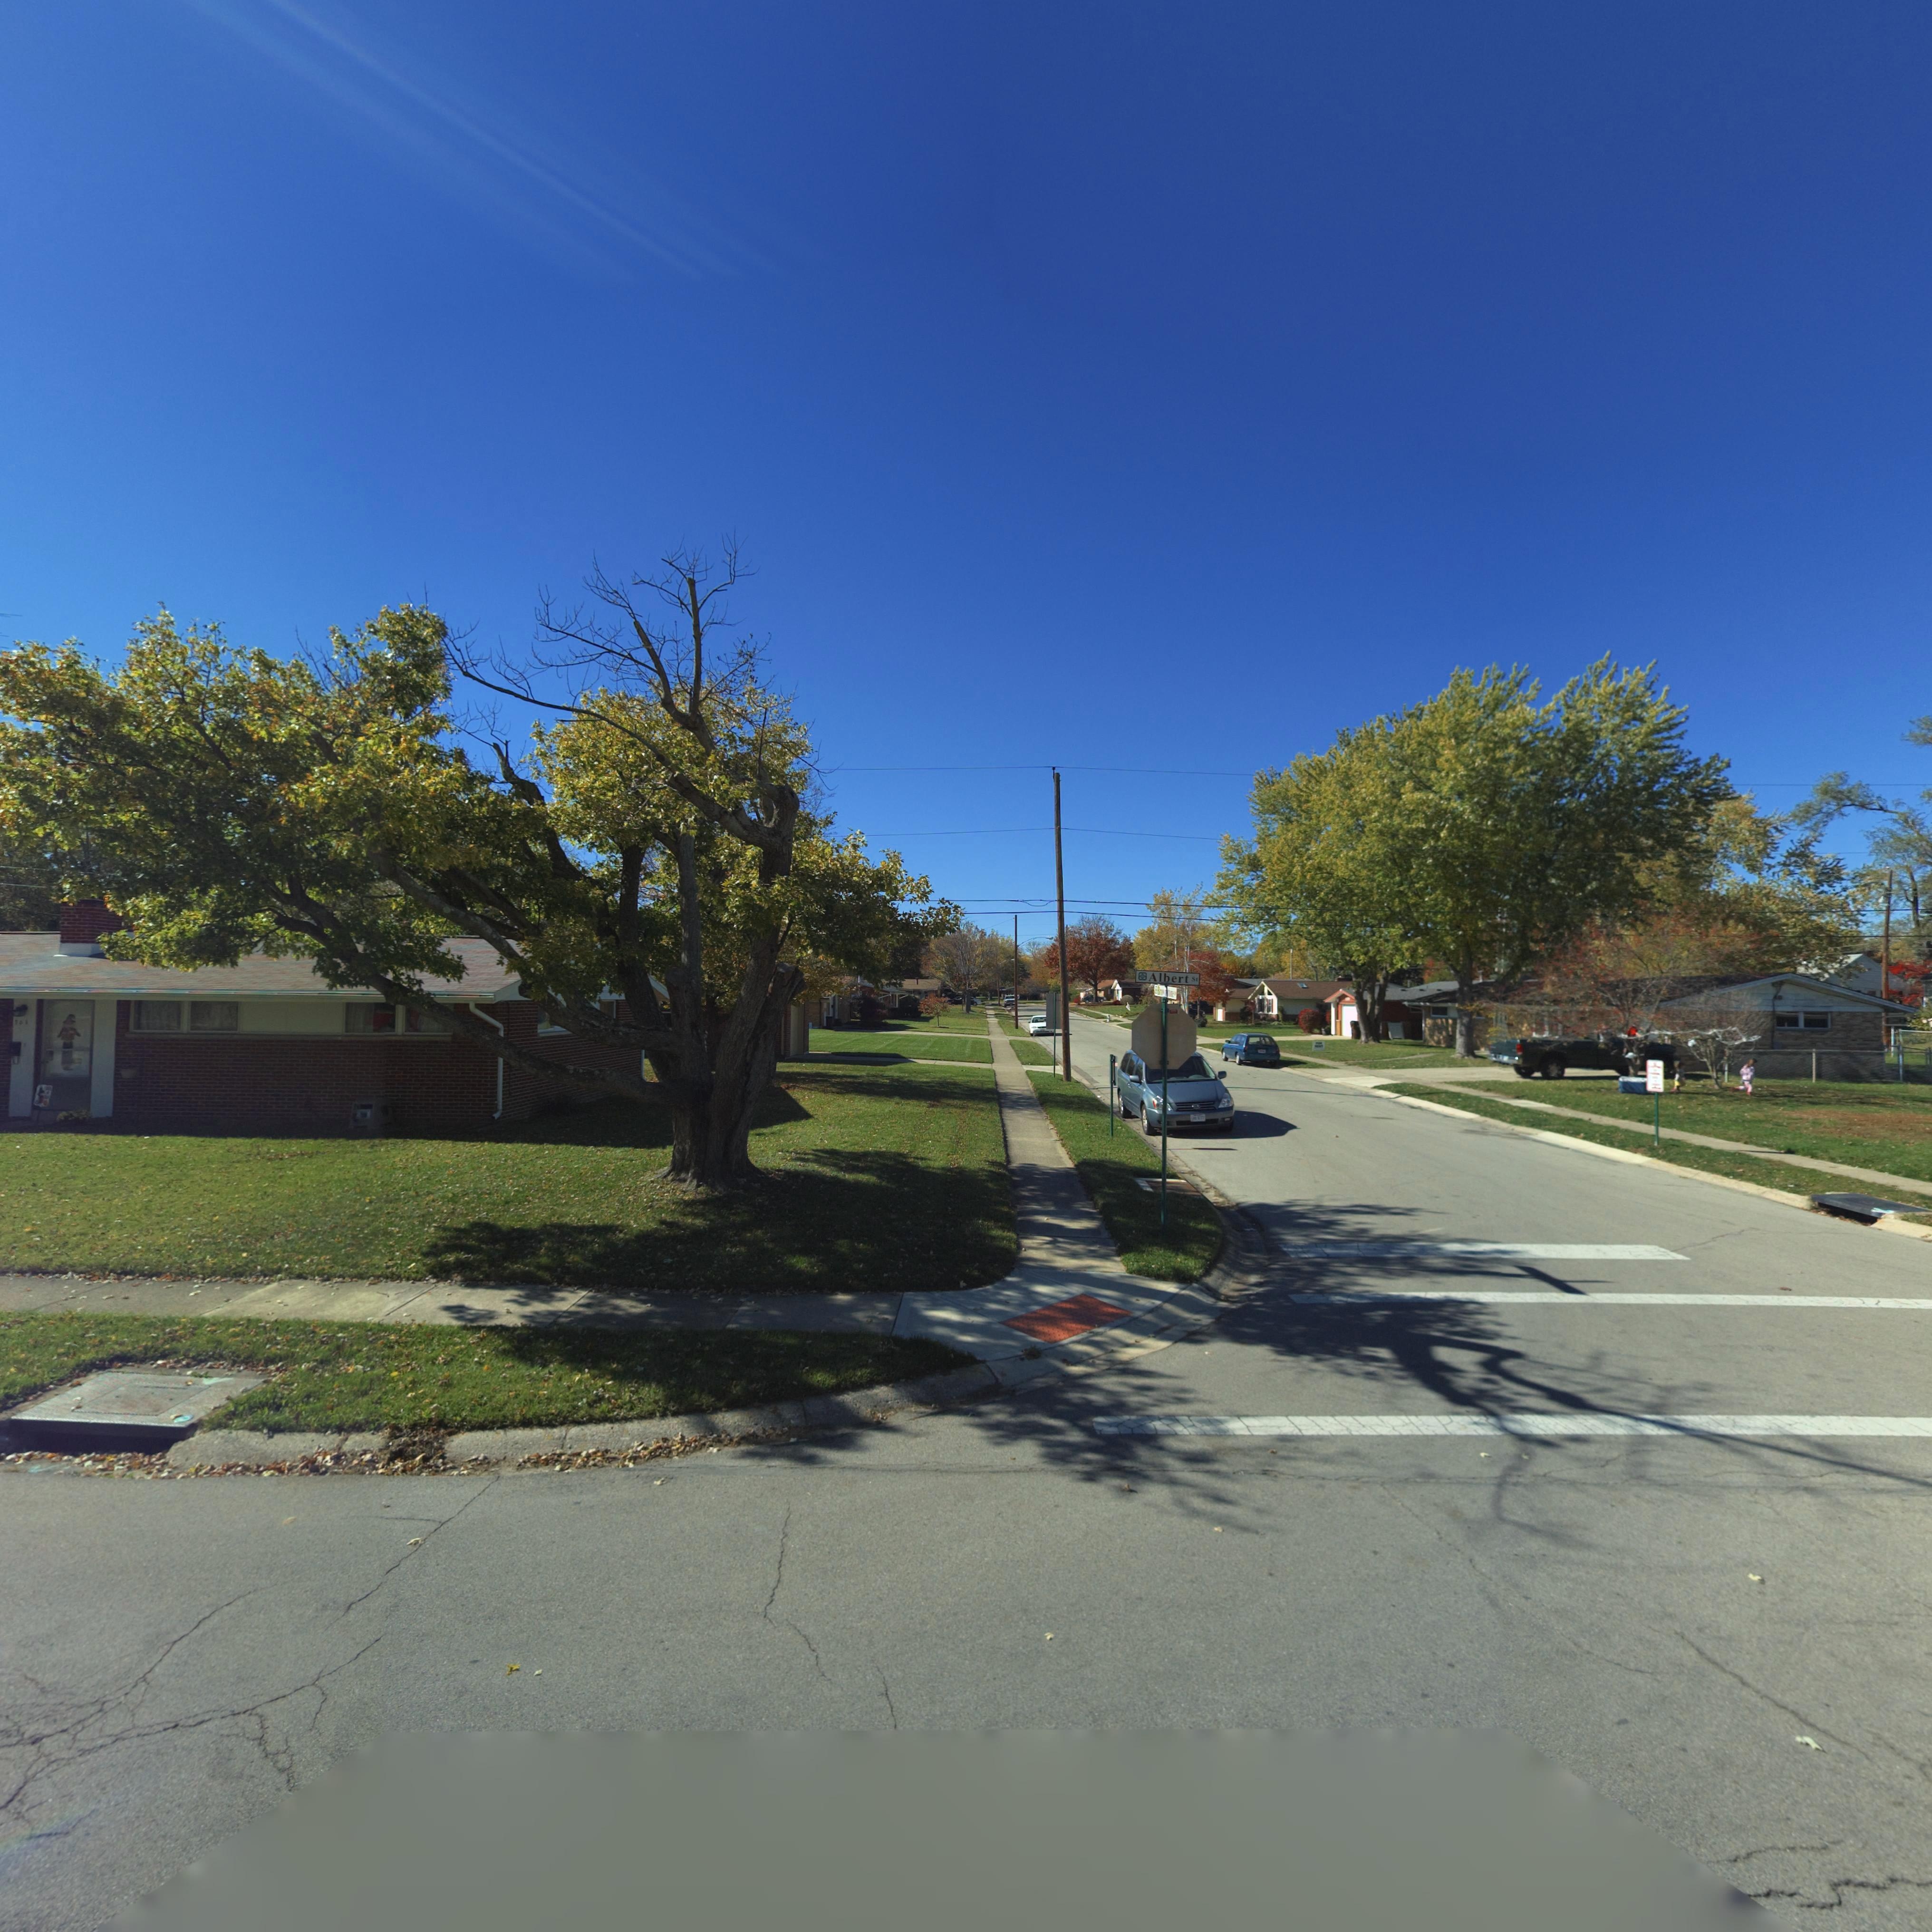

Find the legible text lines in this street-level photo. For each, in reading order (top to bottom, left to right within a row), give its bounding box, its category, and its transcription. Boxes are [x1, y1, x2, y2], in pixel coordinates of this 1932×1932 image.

[1147, 972, 1198, 984] StreetName: Albert St
[1157, 985, 1160, 995] StreetName: B
[14, 1018, 29, 1026] StreetNumber: 70*